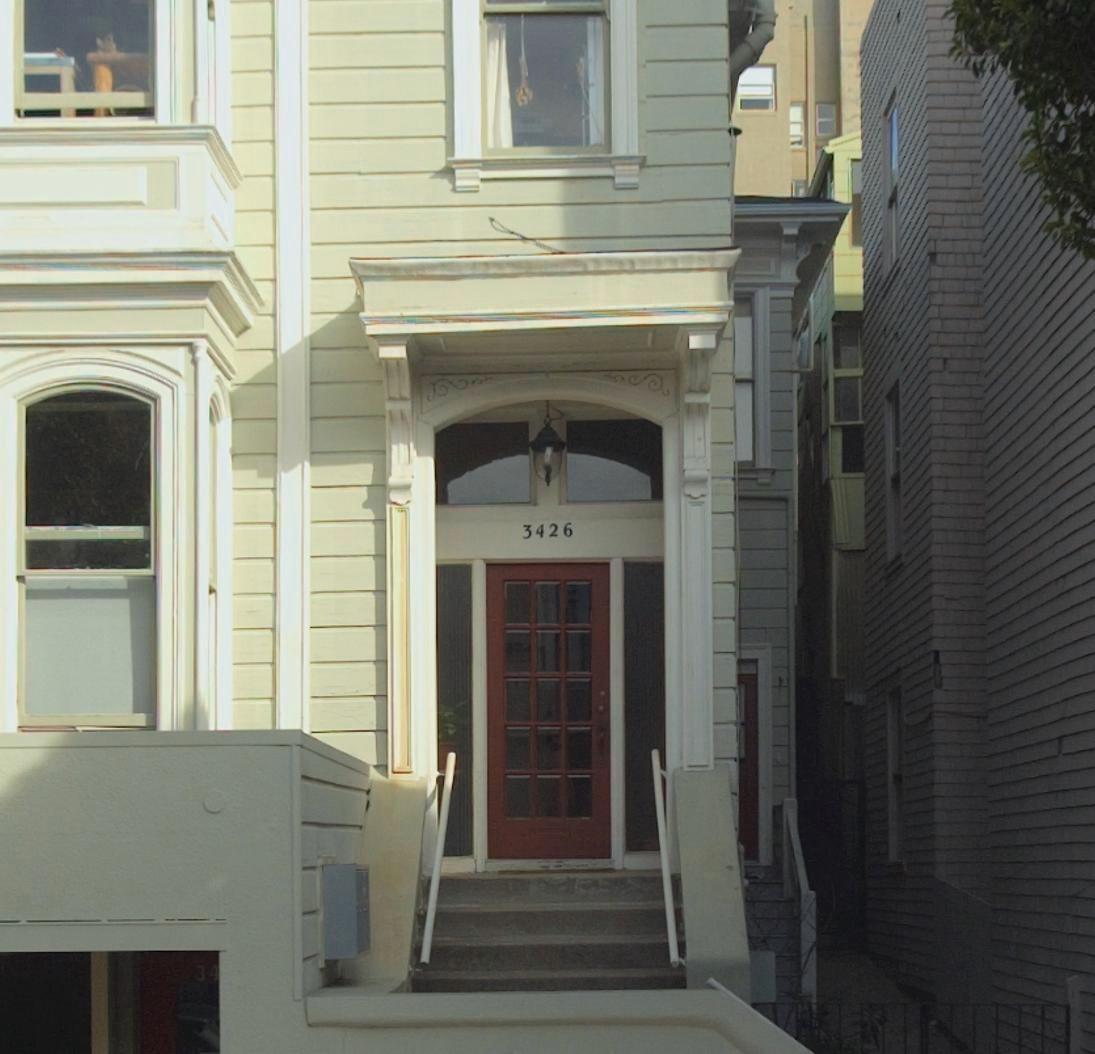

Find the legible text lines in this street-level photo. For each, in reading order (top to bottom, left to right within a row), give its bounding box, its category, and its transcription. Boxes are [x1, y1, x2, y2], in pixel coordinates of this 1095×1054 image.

[519, 521, 575, 541] StreetNumber: 3426